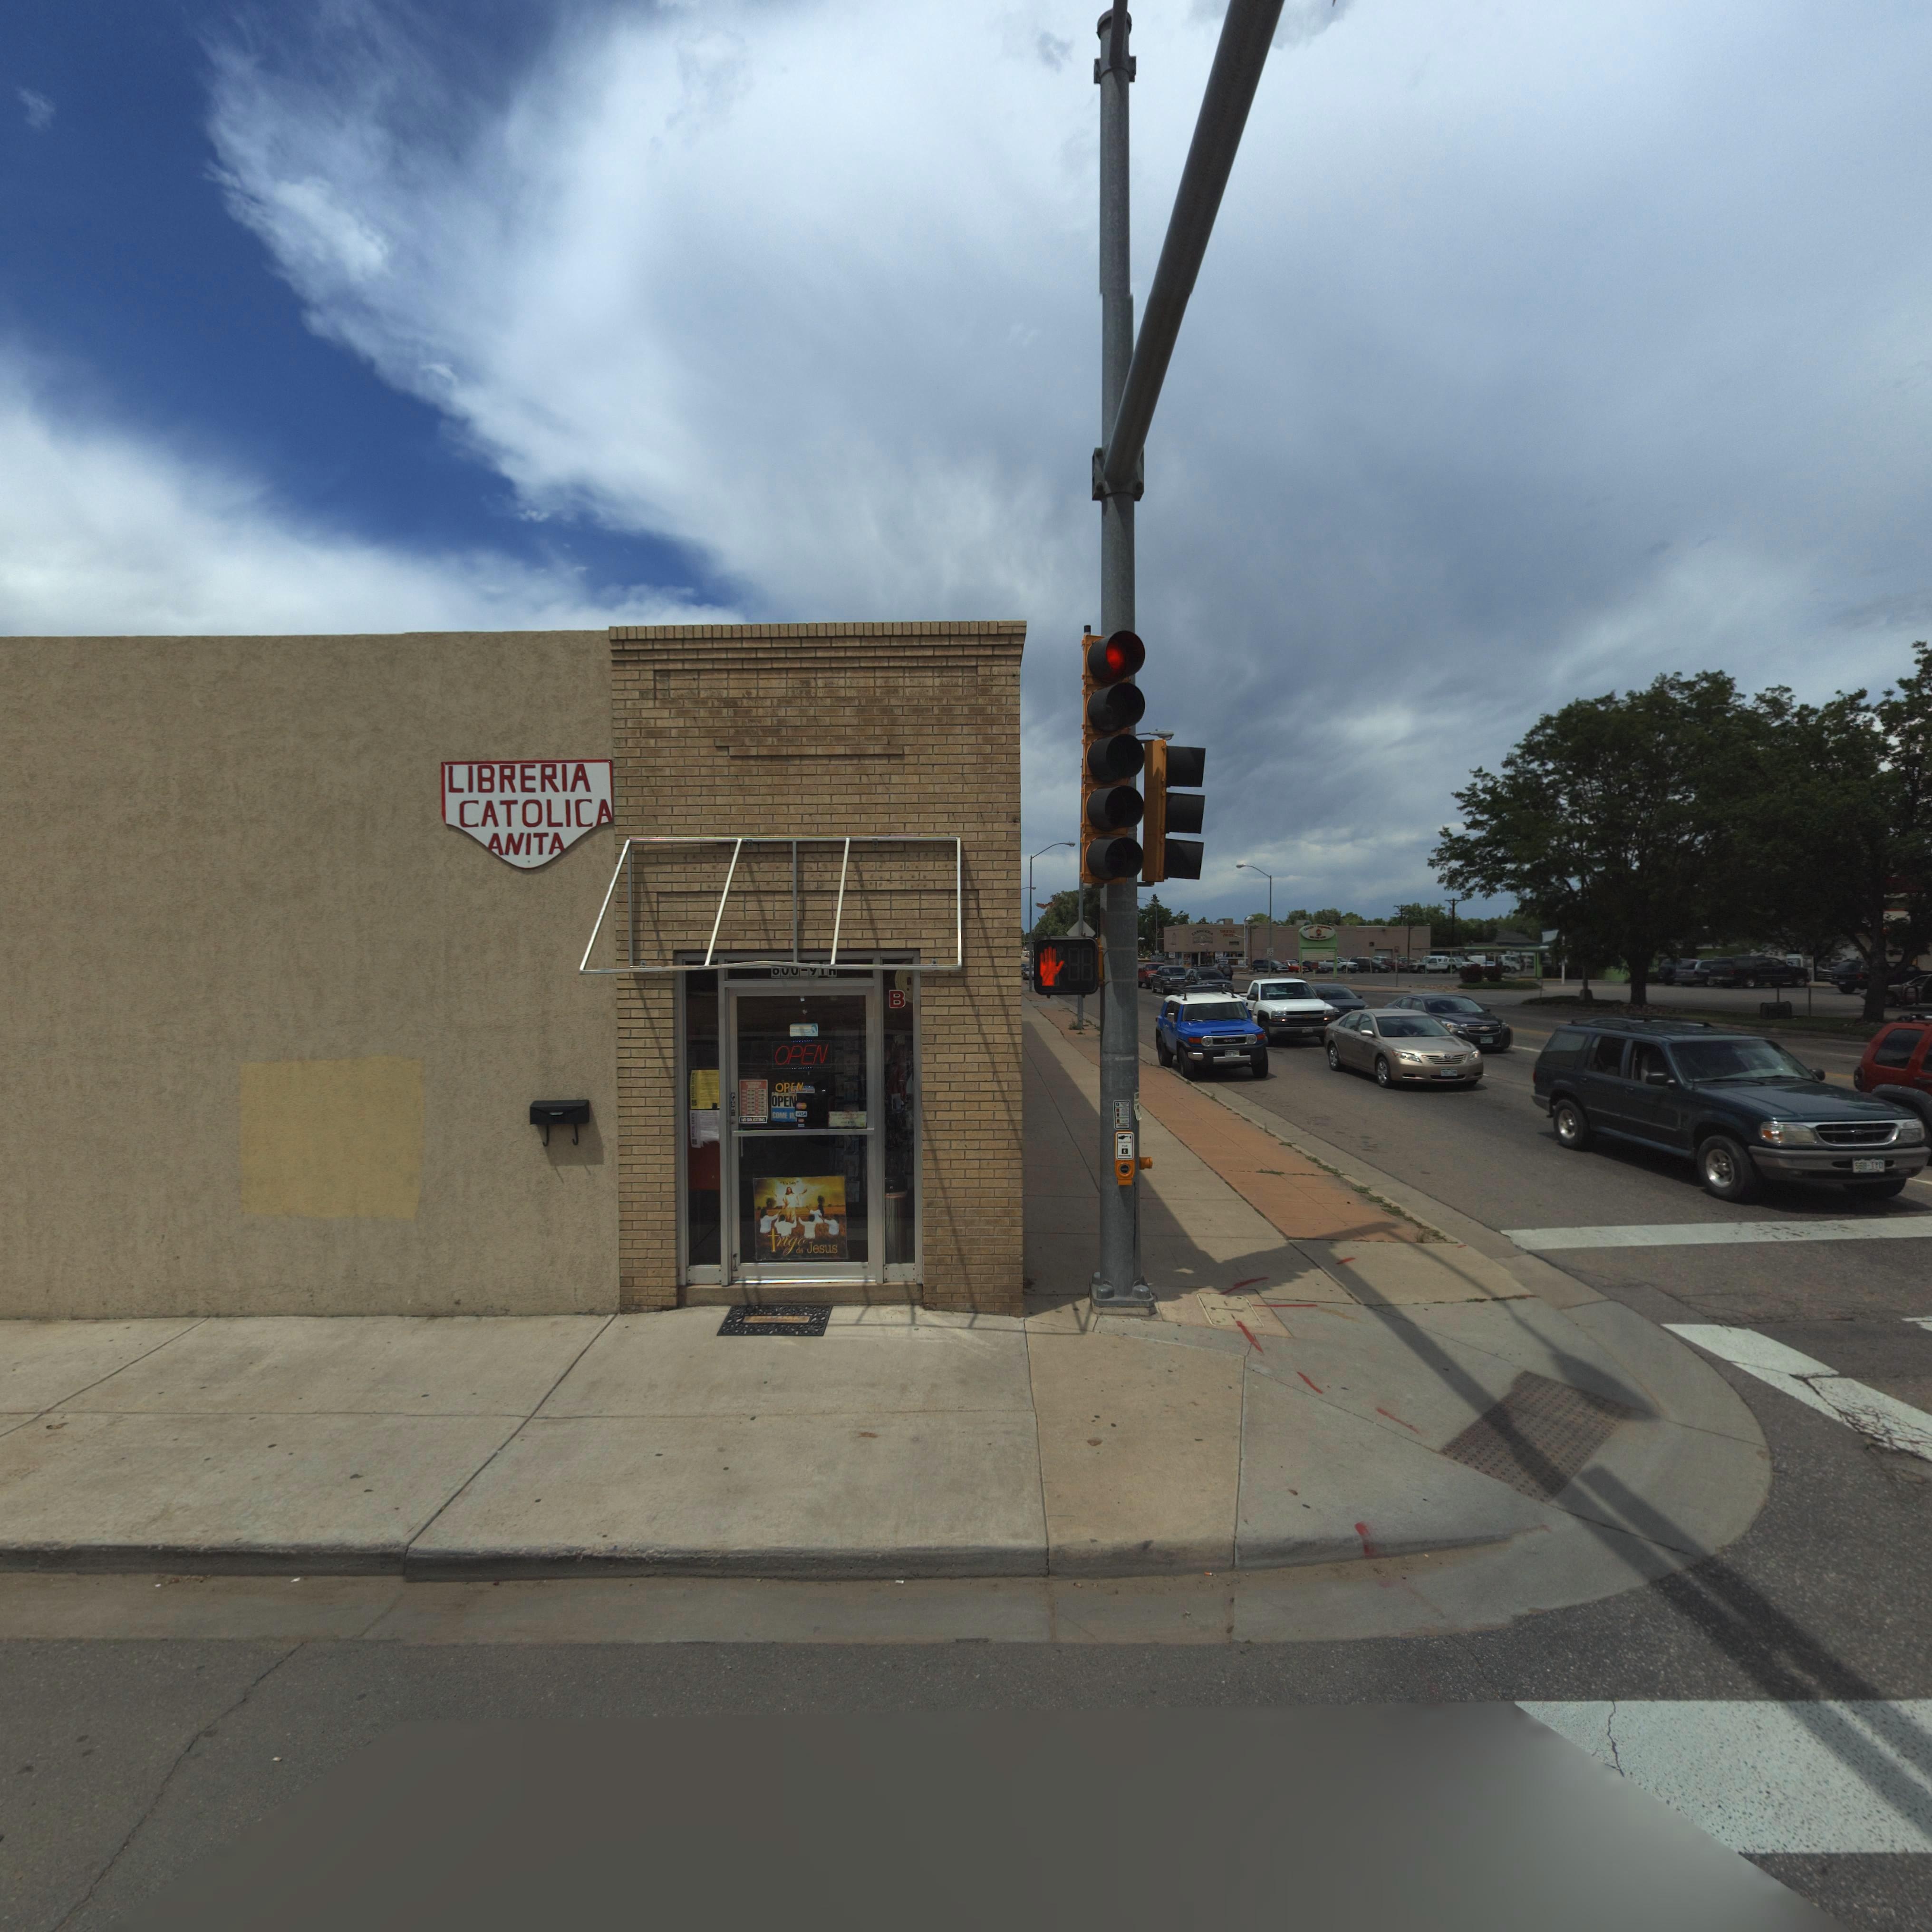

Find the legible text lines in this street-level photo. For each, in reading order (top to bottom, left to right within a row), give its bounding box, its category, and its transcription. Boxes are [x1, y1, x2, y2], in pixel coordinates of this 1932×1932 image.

[448, 763, 591, 792] BusinessName: LIBRERIA
[459, 799, 613, 827] BusinessName: CATOLICA
[487, 832, 565, 855] BusinessName: ANITA